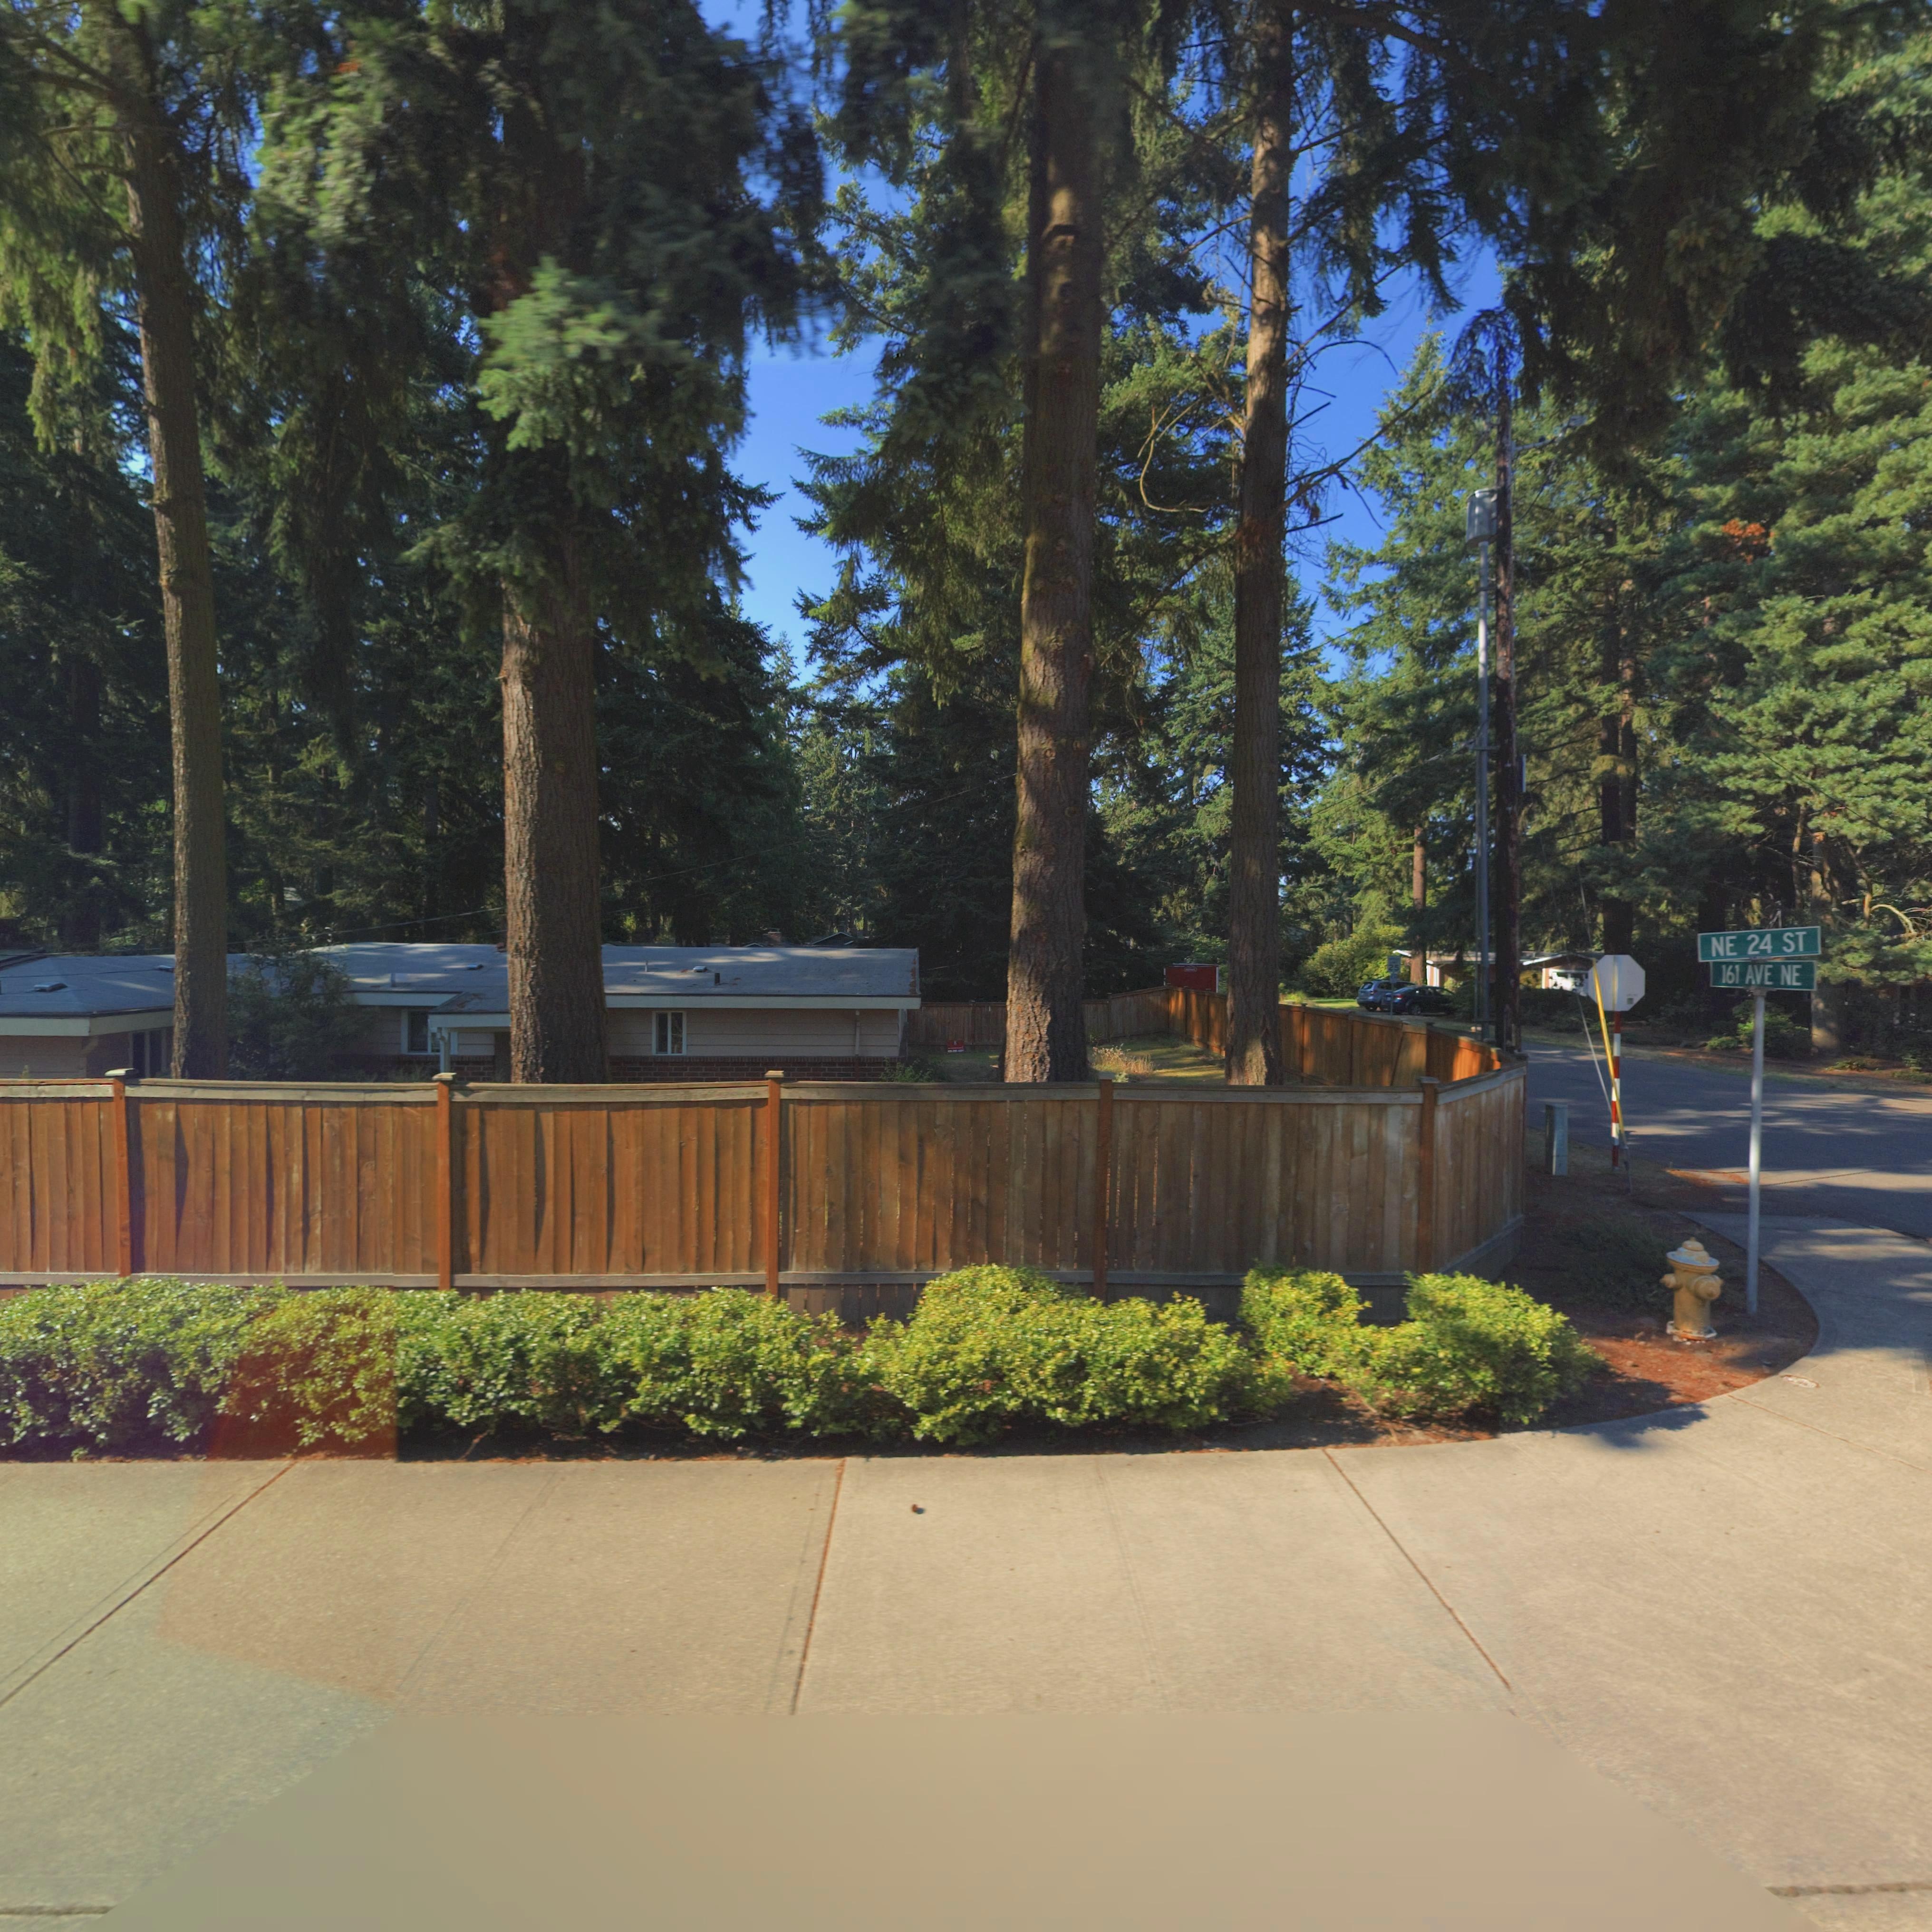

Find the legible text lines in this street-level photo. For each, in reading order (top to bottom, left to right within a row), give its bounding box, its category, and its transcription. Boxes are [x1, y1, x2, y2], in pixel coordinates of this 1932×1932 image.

[1711, 931, 1808, 957] StreetName: NE 24 ST
[1720, 965, 1805, 986] StreetName: 161 AVE NE